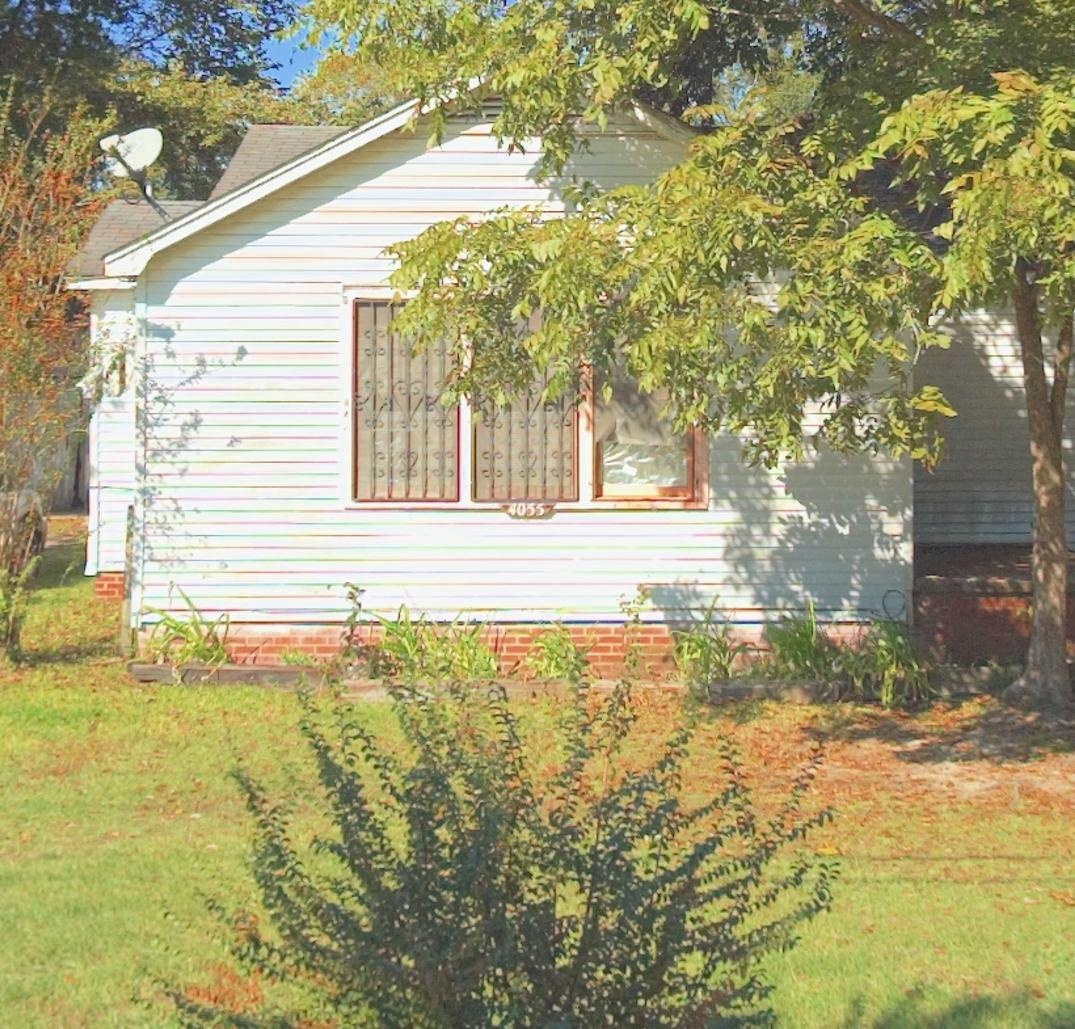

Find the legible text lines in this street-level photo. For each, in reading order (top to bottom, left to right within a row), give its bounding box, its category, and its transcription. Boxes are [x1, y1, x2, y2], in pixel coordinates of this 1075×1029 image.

[505, 500, 546, 518] StreetNumber: 4055